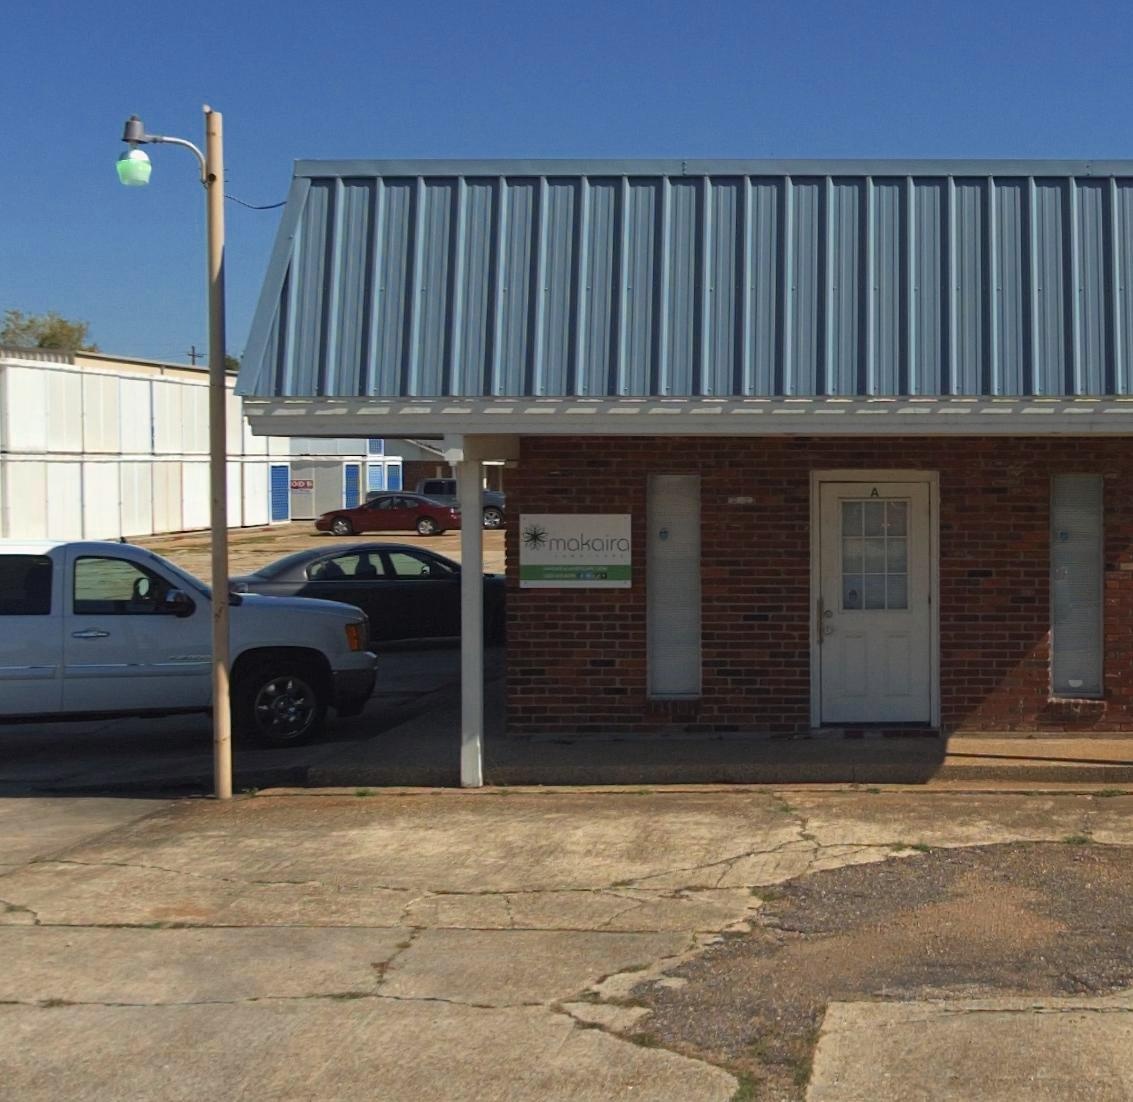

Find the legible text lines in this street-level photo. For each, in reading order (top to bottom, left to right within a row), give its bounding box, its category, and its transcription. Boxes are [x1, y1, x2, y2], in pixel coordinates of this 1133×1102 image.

[288, 478, 307, 489] BusinessName: OD
[867, 484, 882, 501] StreetNumber: A
[546, 531, 632, 554] BusinessName: makaira